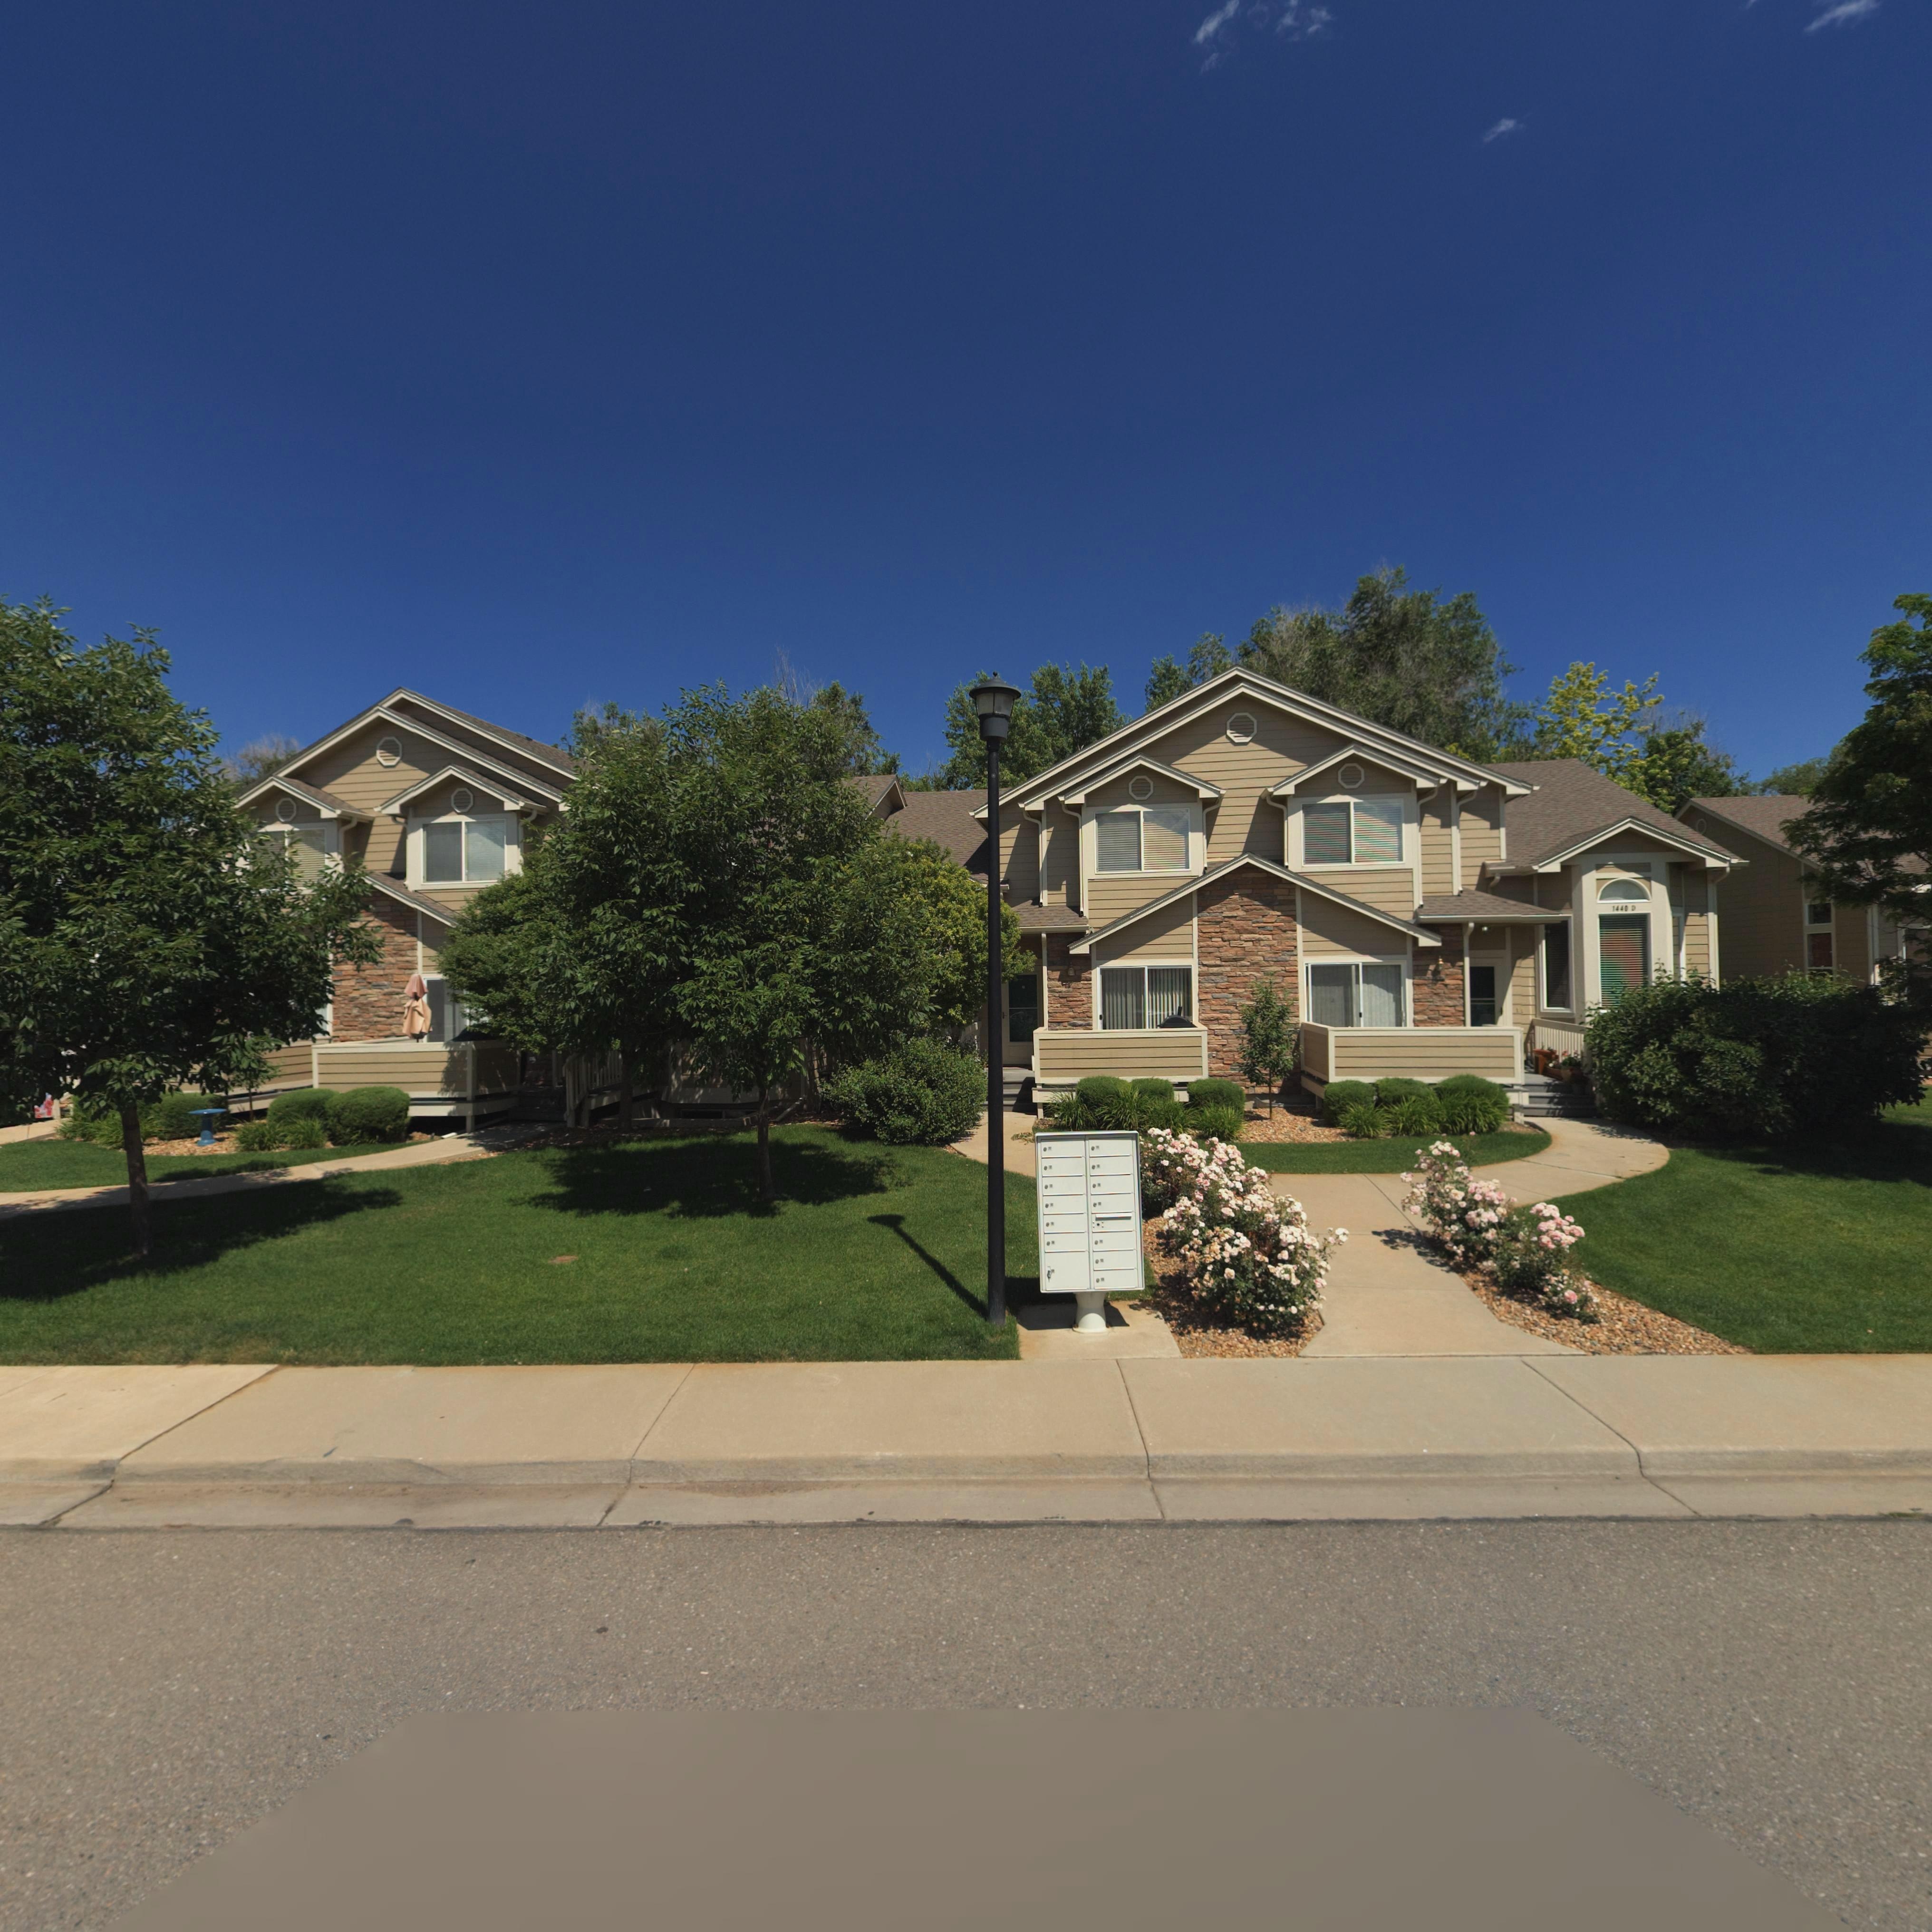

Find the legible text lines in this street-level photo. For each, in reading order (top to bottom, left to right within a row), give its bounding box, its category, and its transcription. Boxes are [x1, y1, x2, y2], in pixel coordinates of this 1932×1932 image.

[1612, 905, 1636, 912] StreetNumber: 1440 D